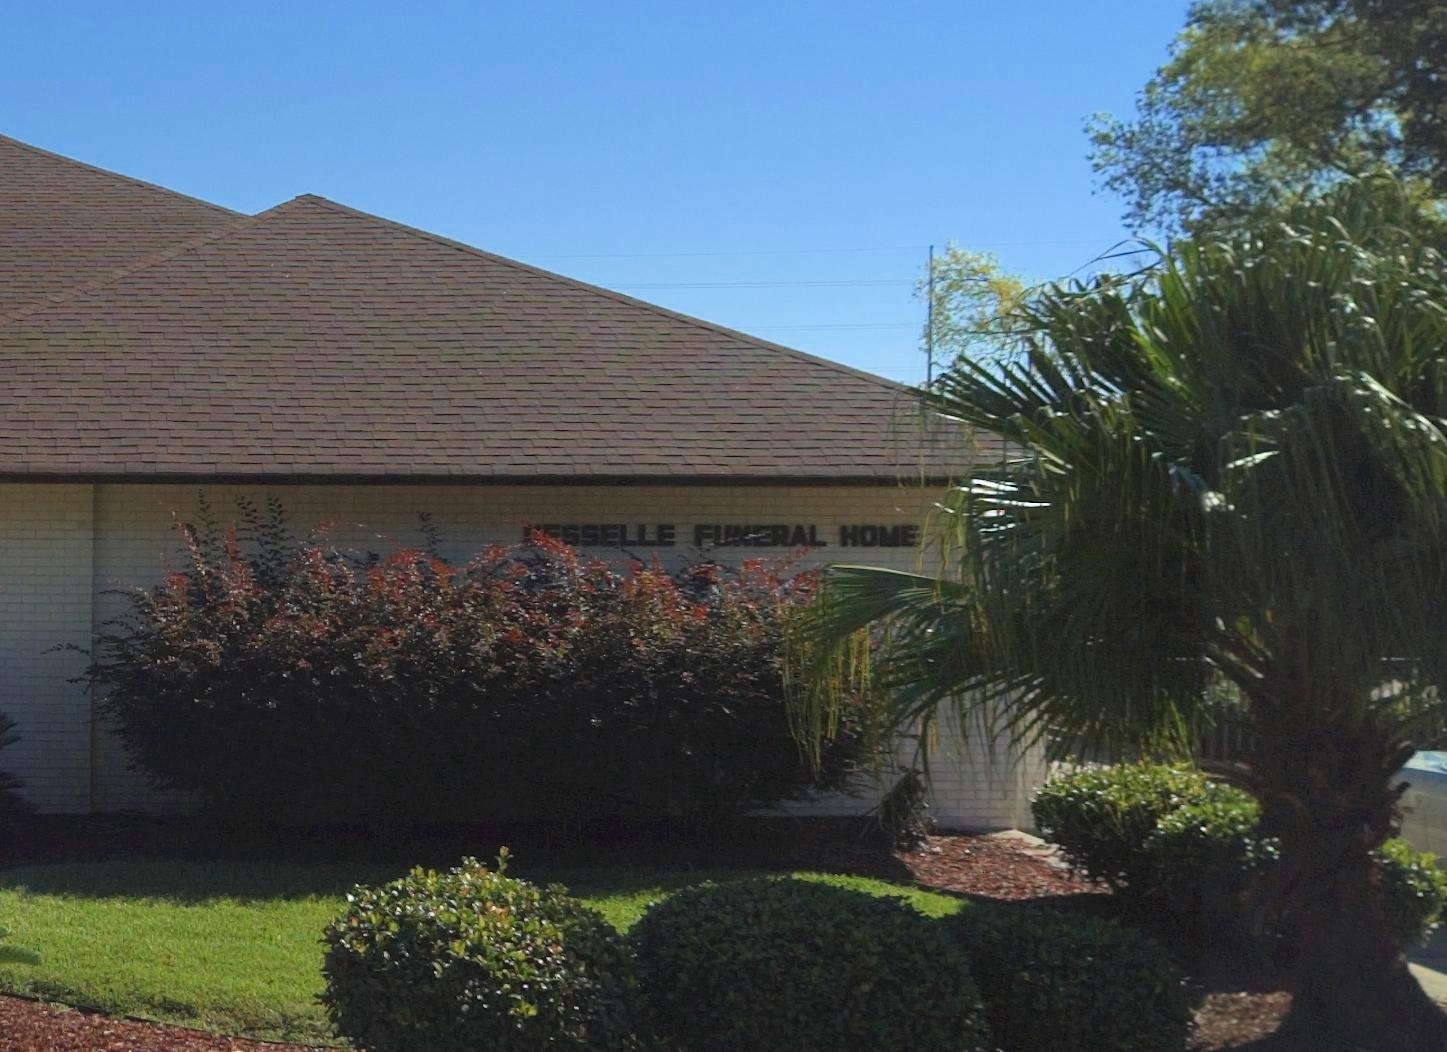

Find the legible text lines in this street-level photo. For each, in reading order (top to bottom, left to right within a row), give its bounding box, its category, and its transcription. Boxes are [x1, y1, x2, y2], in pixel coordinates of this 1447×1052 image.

[520, 521, 923, 549] BusinessName: **SSELLE FUNERAL HOME